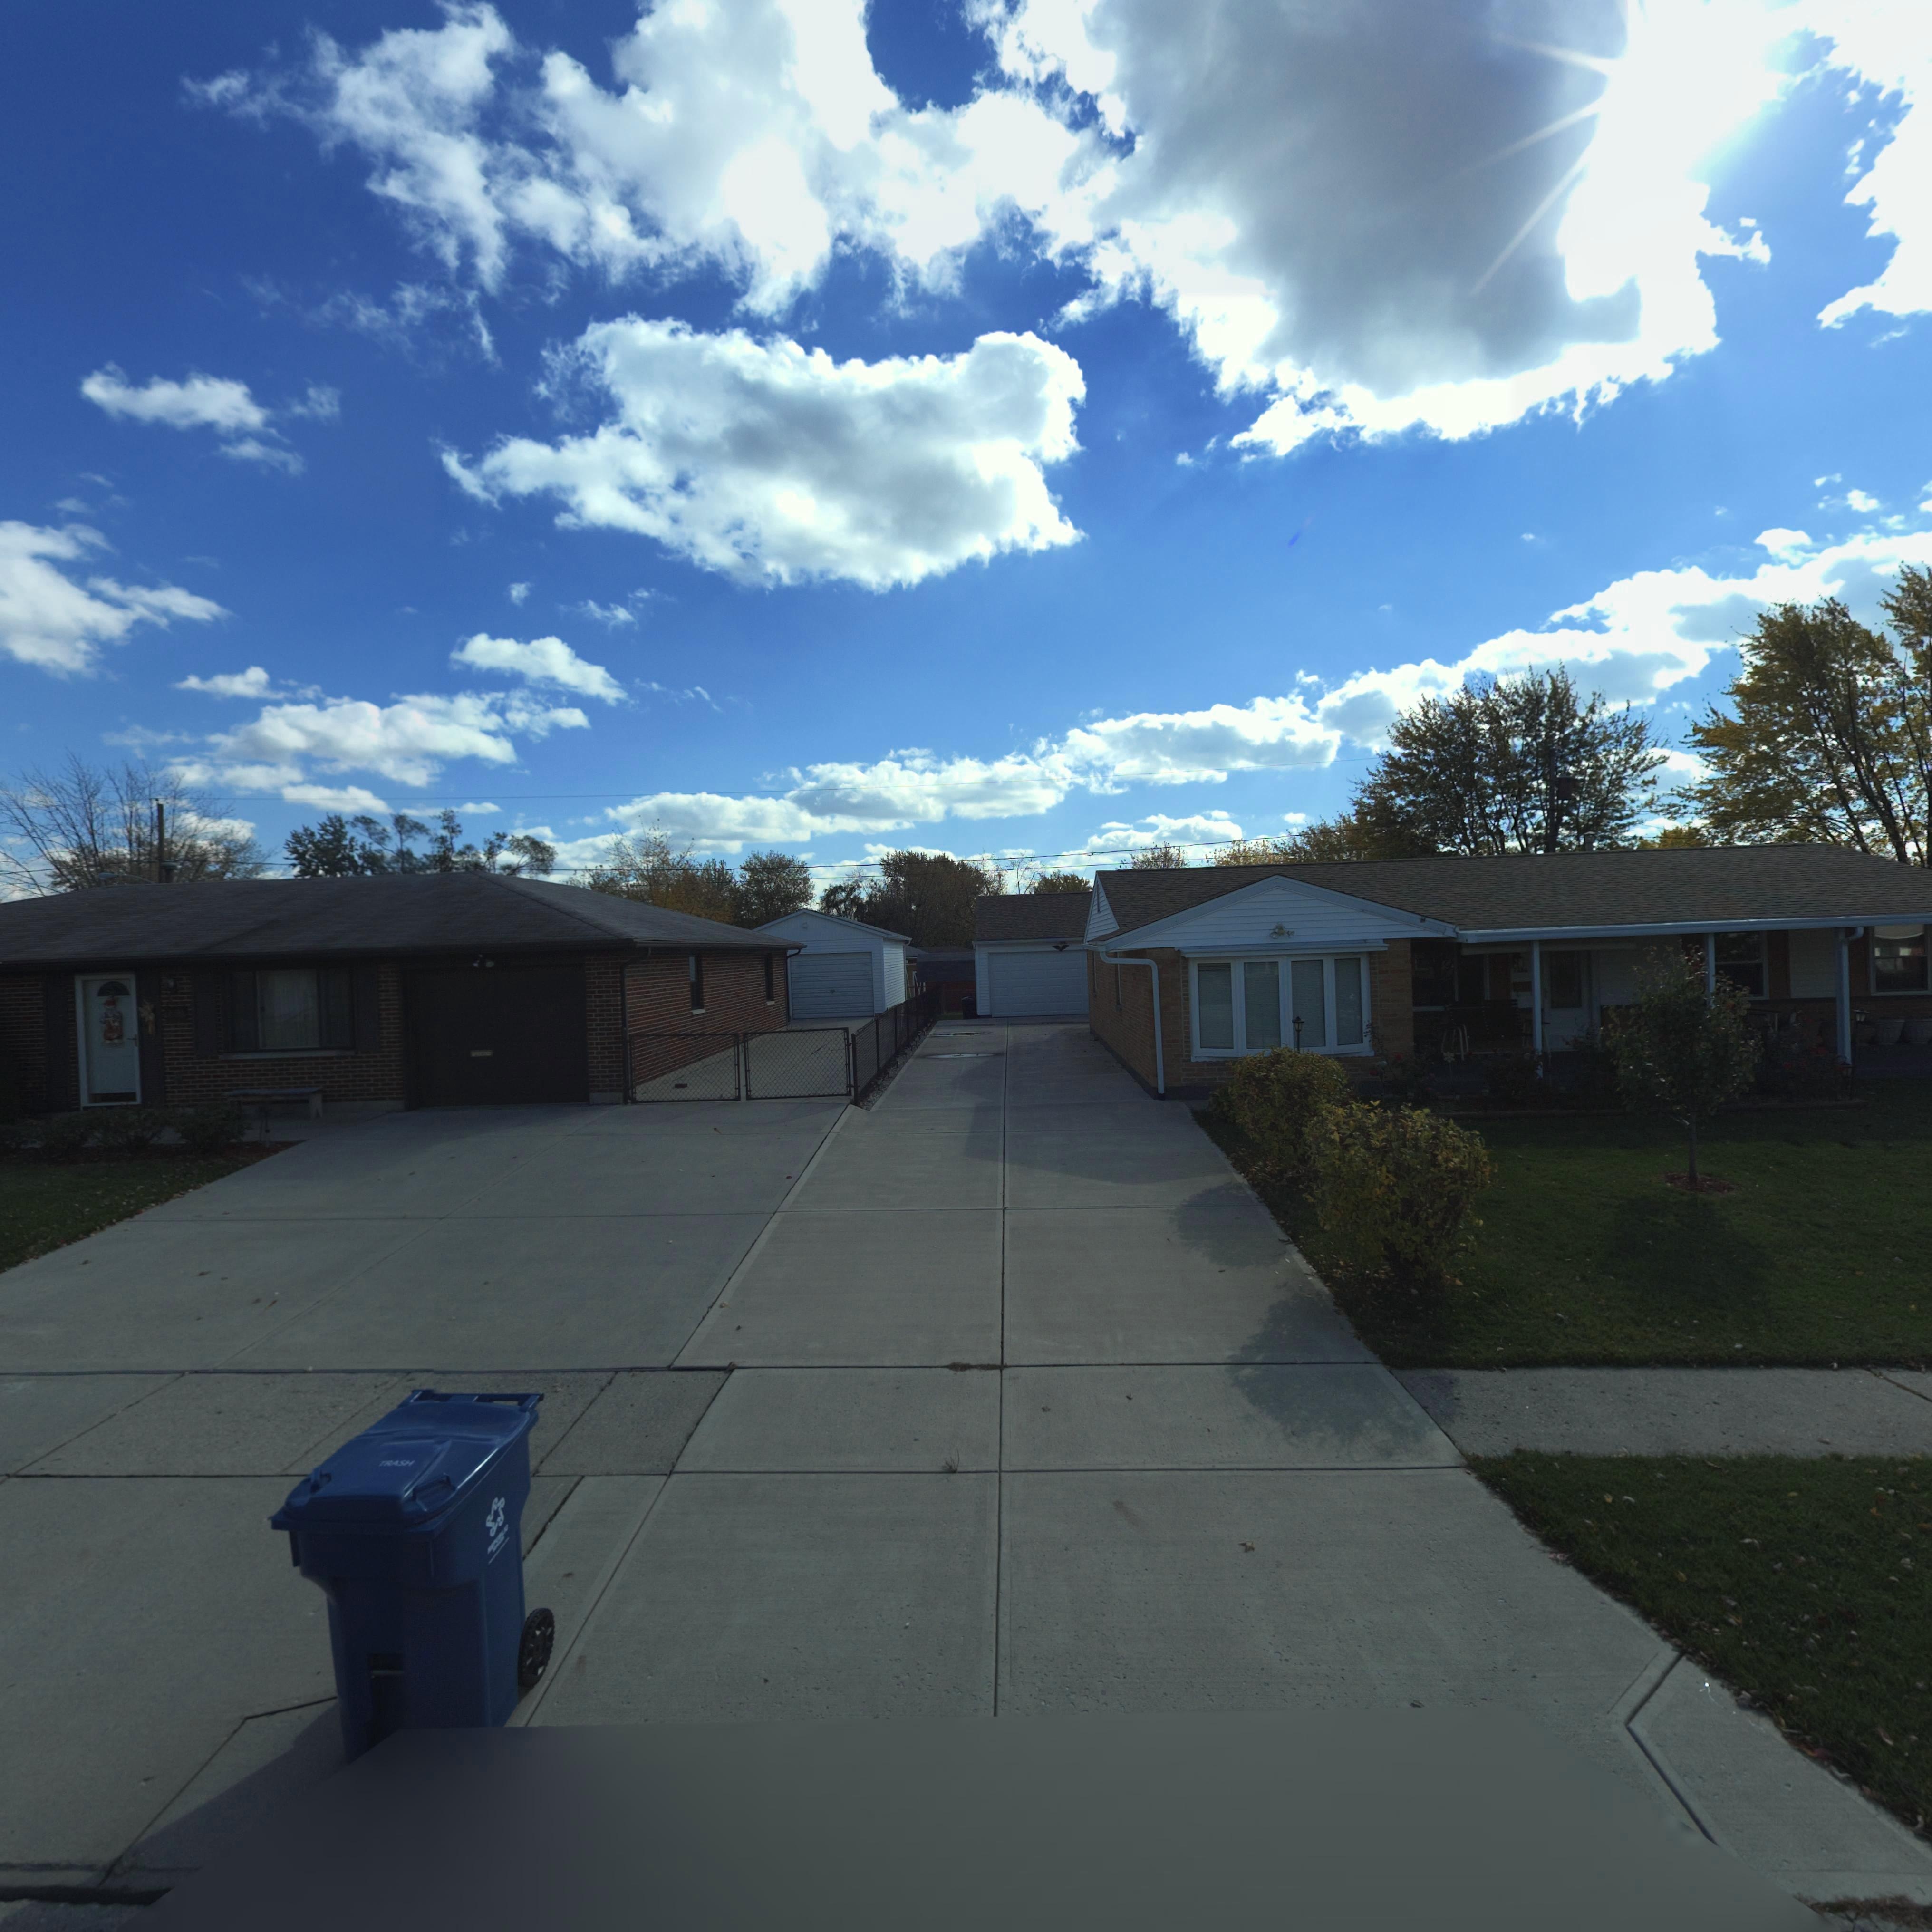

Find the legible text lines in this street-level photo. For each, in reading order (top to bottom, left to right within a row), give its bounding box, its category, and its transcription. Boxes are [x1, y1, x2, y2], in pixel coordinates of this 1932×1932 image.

[1513, 967, 1529, 974] StreetNumber: 7686